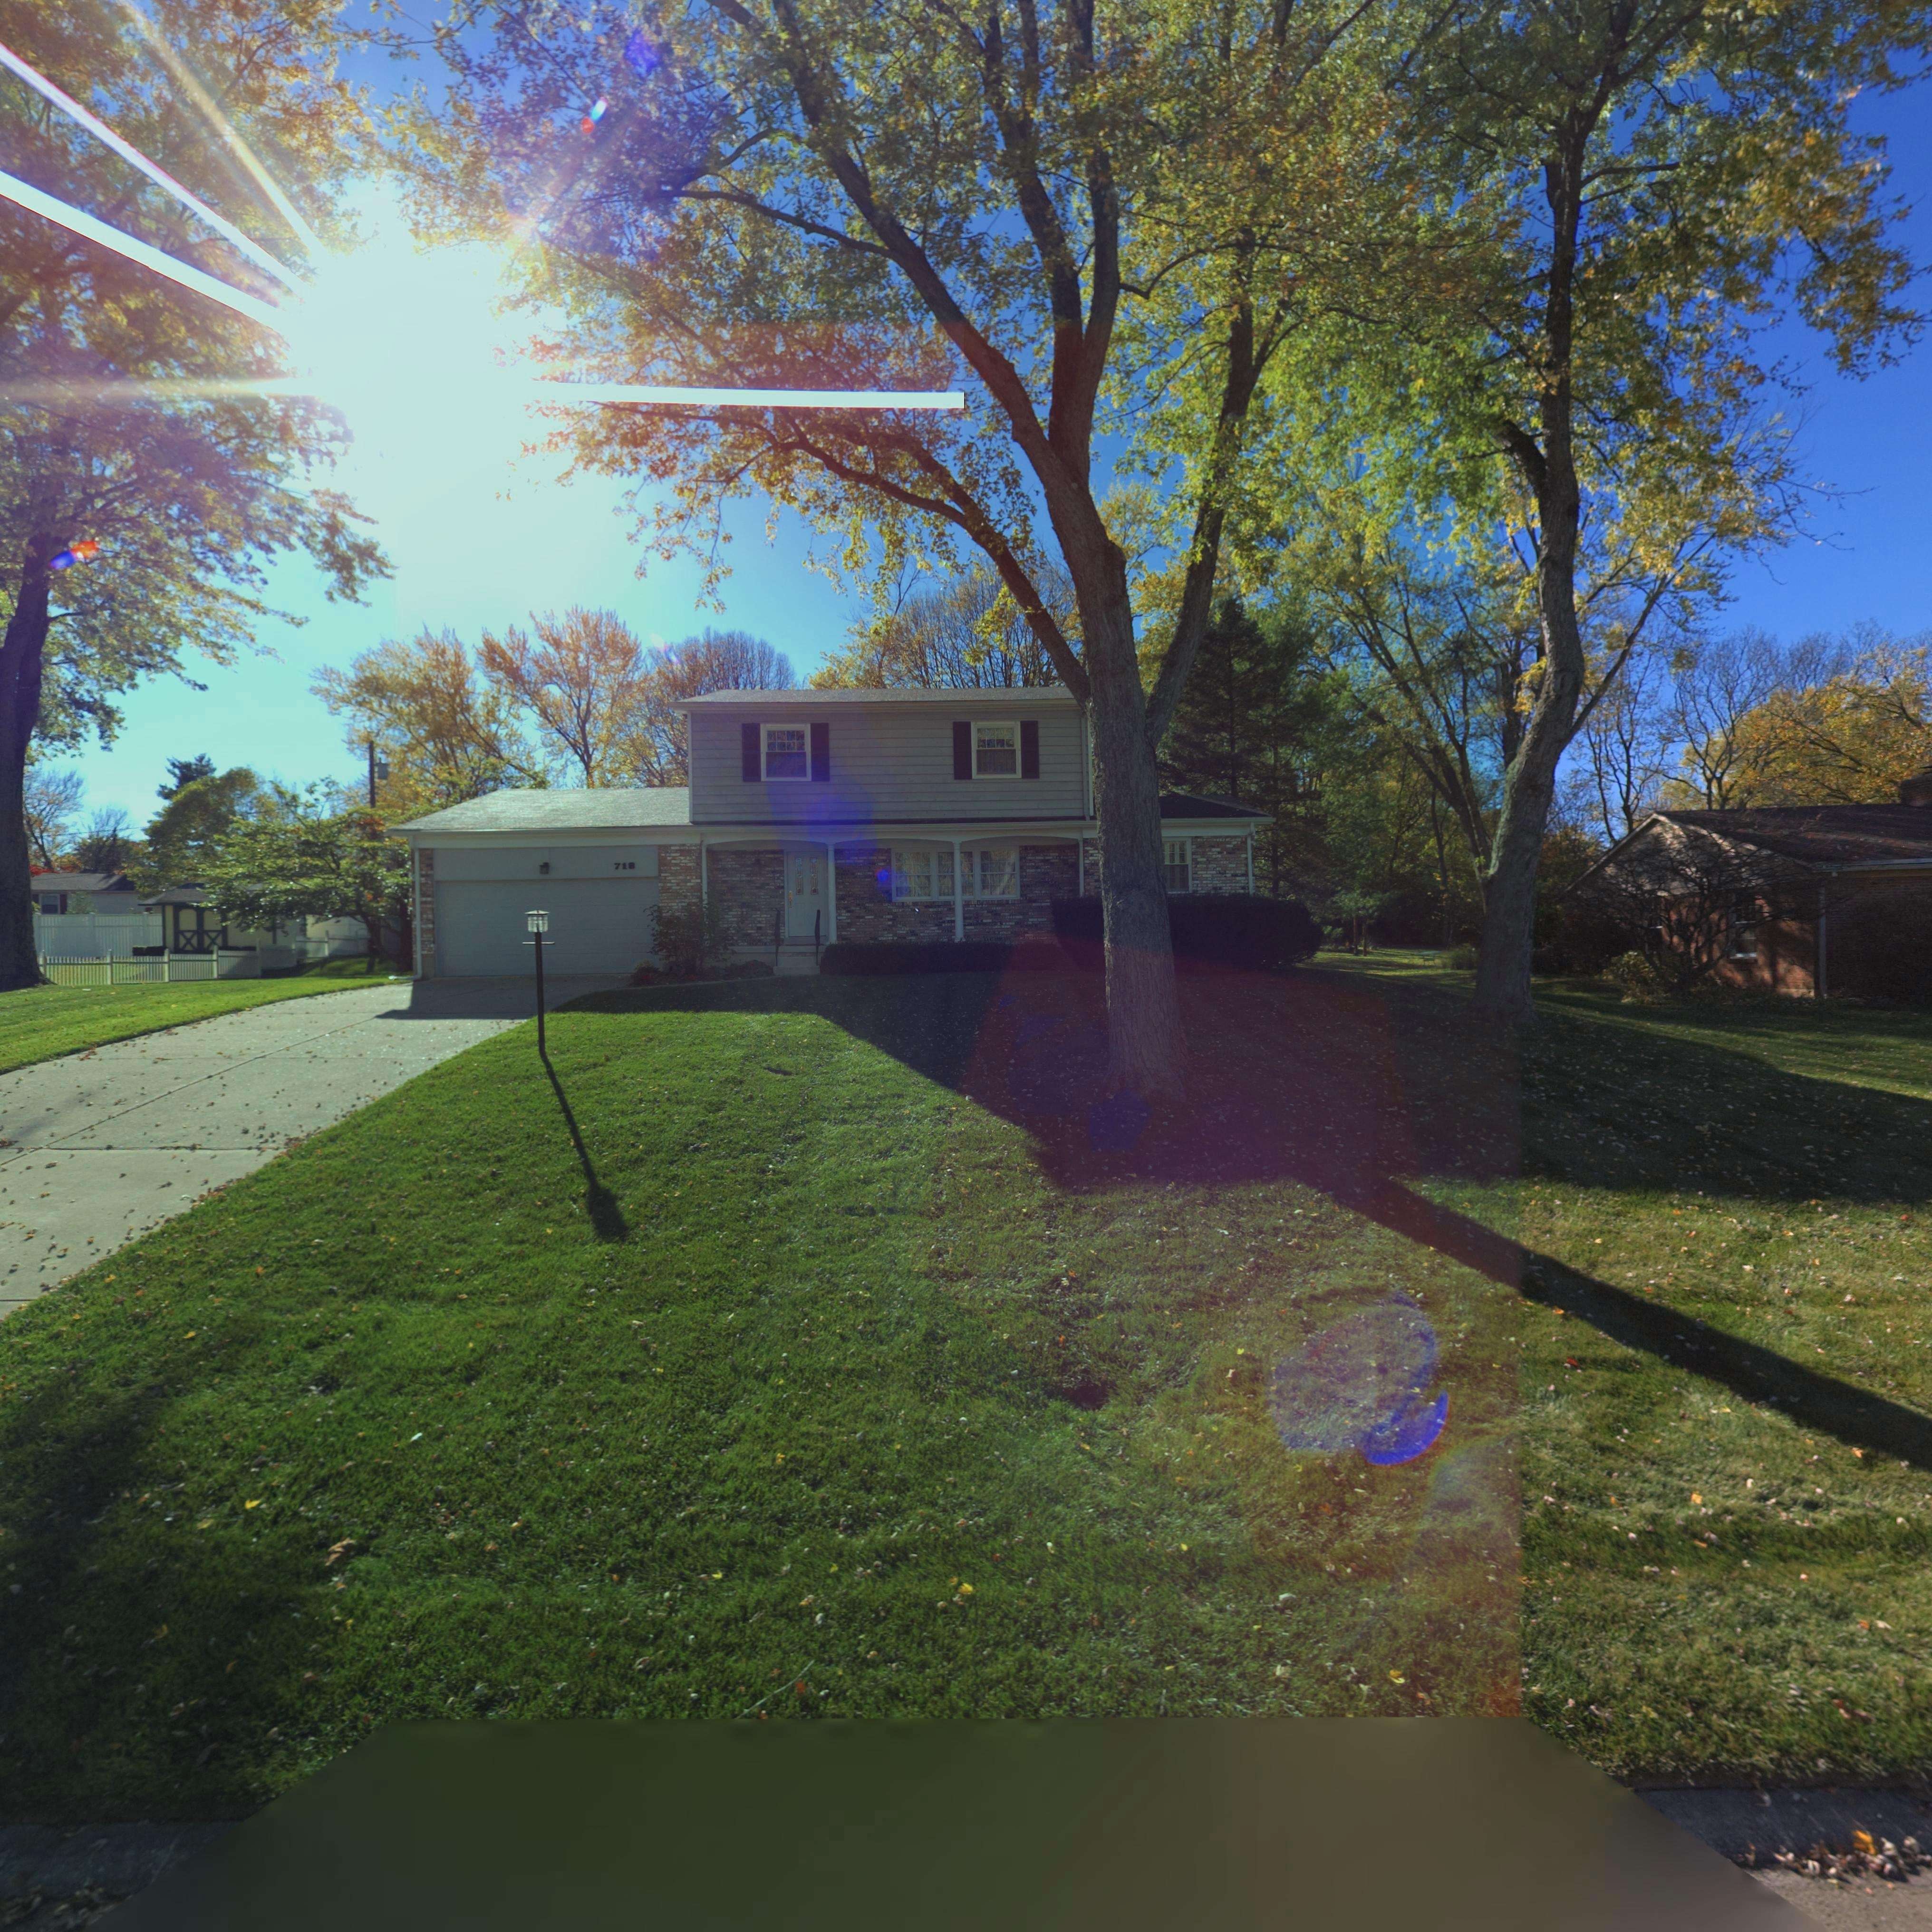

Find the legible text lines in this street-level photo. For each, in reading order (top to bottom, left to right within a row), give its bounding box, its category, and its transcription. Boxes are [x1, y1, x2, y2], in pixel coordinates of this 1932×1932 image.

[613, 861, 636, 870] StreetNumber: 718